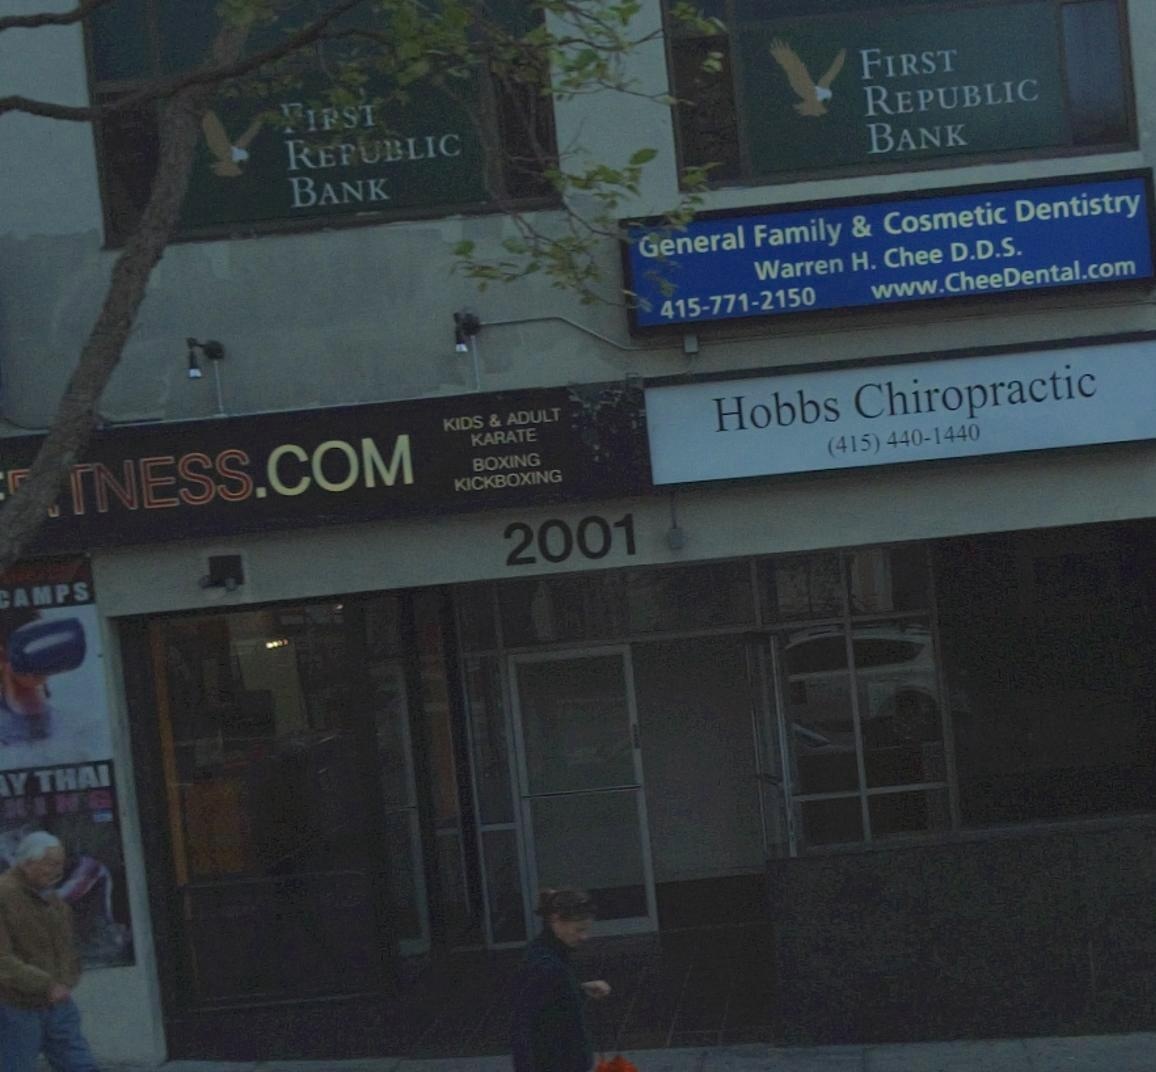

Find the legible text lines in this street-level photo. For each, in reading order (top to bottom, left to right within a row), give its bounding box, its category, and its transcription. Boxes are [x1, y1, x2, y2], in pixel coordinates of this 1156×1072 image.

[853, 42, 962, 85] BusinessName: FIRST
[857, 73, 1044, 120] BusinessName: REPUBLIC
[279, 136, 341, 176] BusinessName: R
[402, 129, 465, 164] BusinessName: LIC
[859, 117, 972, 158] BusinessName: BANK
[282, 170, 398, 212] BusinessName: BANK
[634, 187, 1146, 263] None: General Family & Cosmetic Dentistry
[747, 231, 1027, 284] None: Warren H. Chee D.D.S.
[865, 256, 1141, 303] None: www.CheeDental.com
[656, 282, 821, 323] None: 415-771-2150
[439, 404, 564, 435] None: KIDS & ADULT
[467, 423, 542, 451] None: KARATE
[706, 360, 1103, 438] BusinessName: Hobbs Chiropractic
[831, 420, 985, 457] None: 415) 440-1440
[87, 427, 422, 520] None: NESS.COM
[470, 449, 544, 475] None: BOXING
[451, 465, 566, 496] None: KICKBOXING
[497, 508, 643, 571] StreetNumber: 2001
[9, 577, 94, 612] None: AMPS
[3, 761, 115, 798] None: Y THAI
[1, 783, 117, 824] None: *I*G